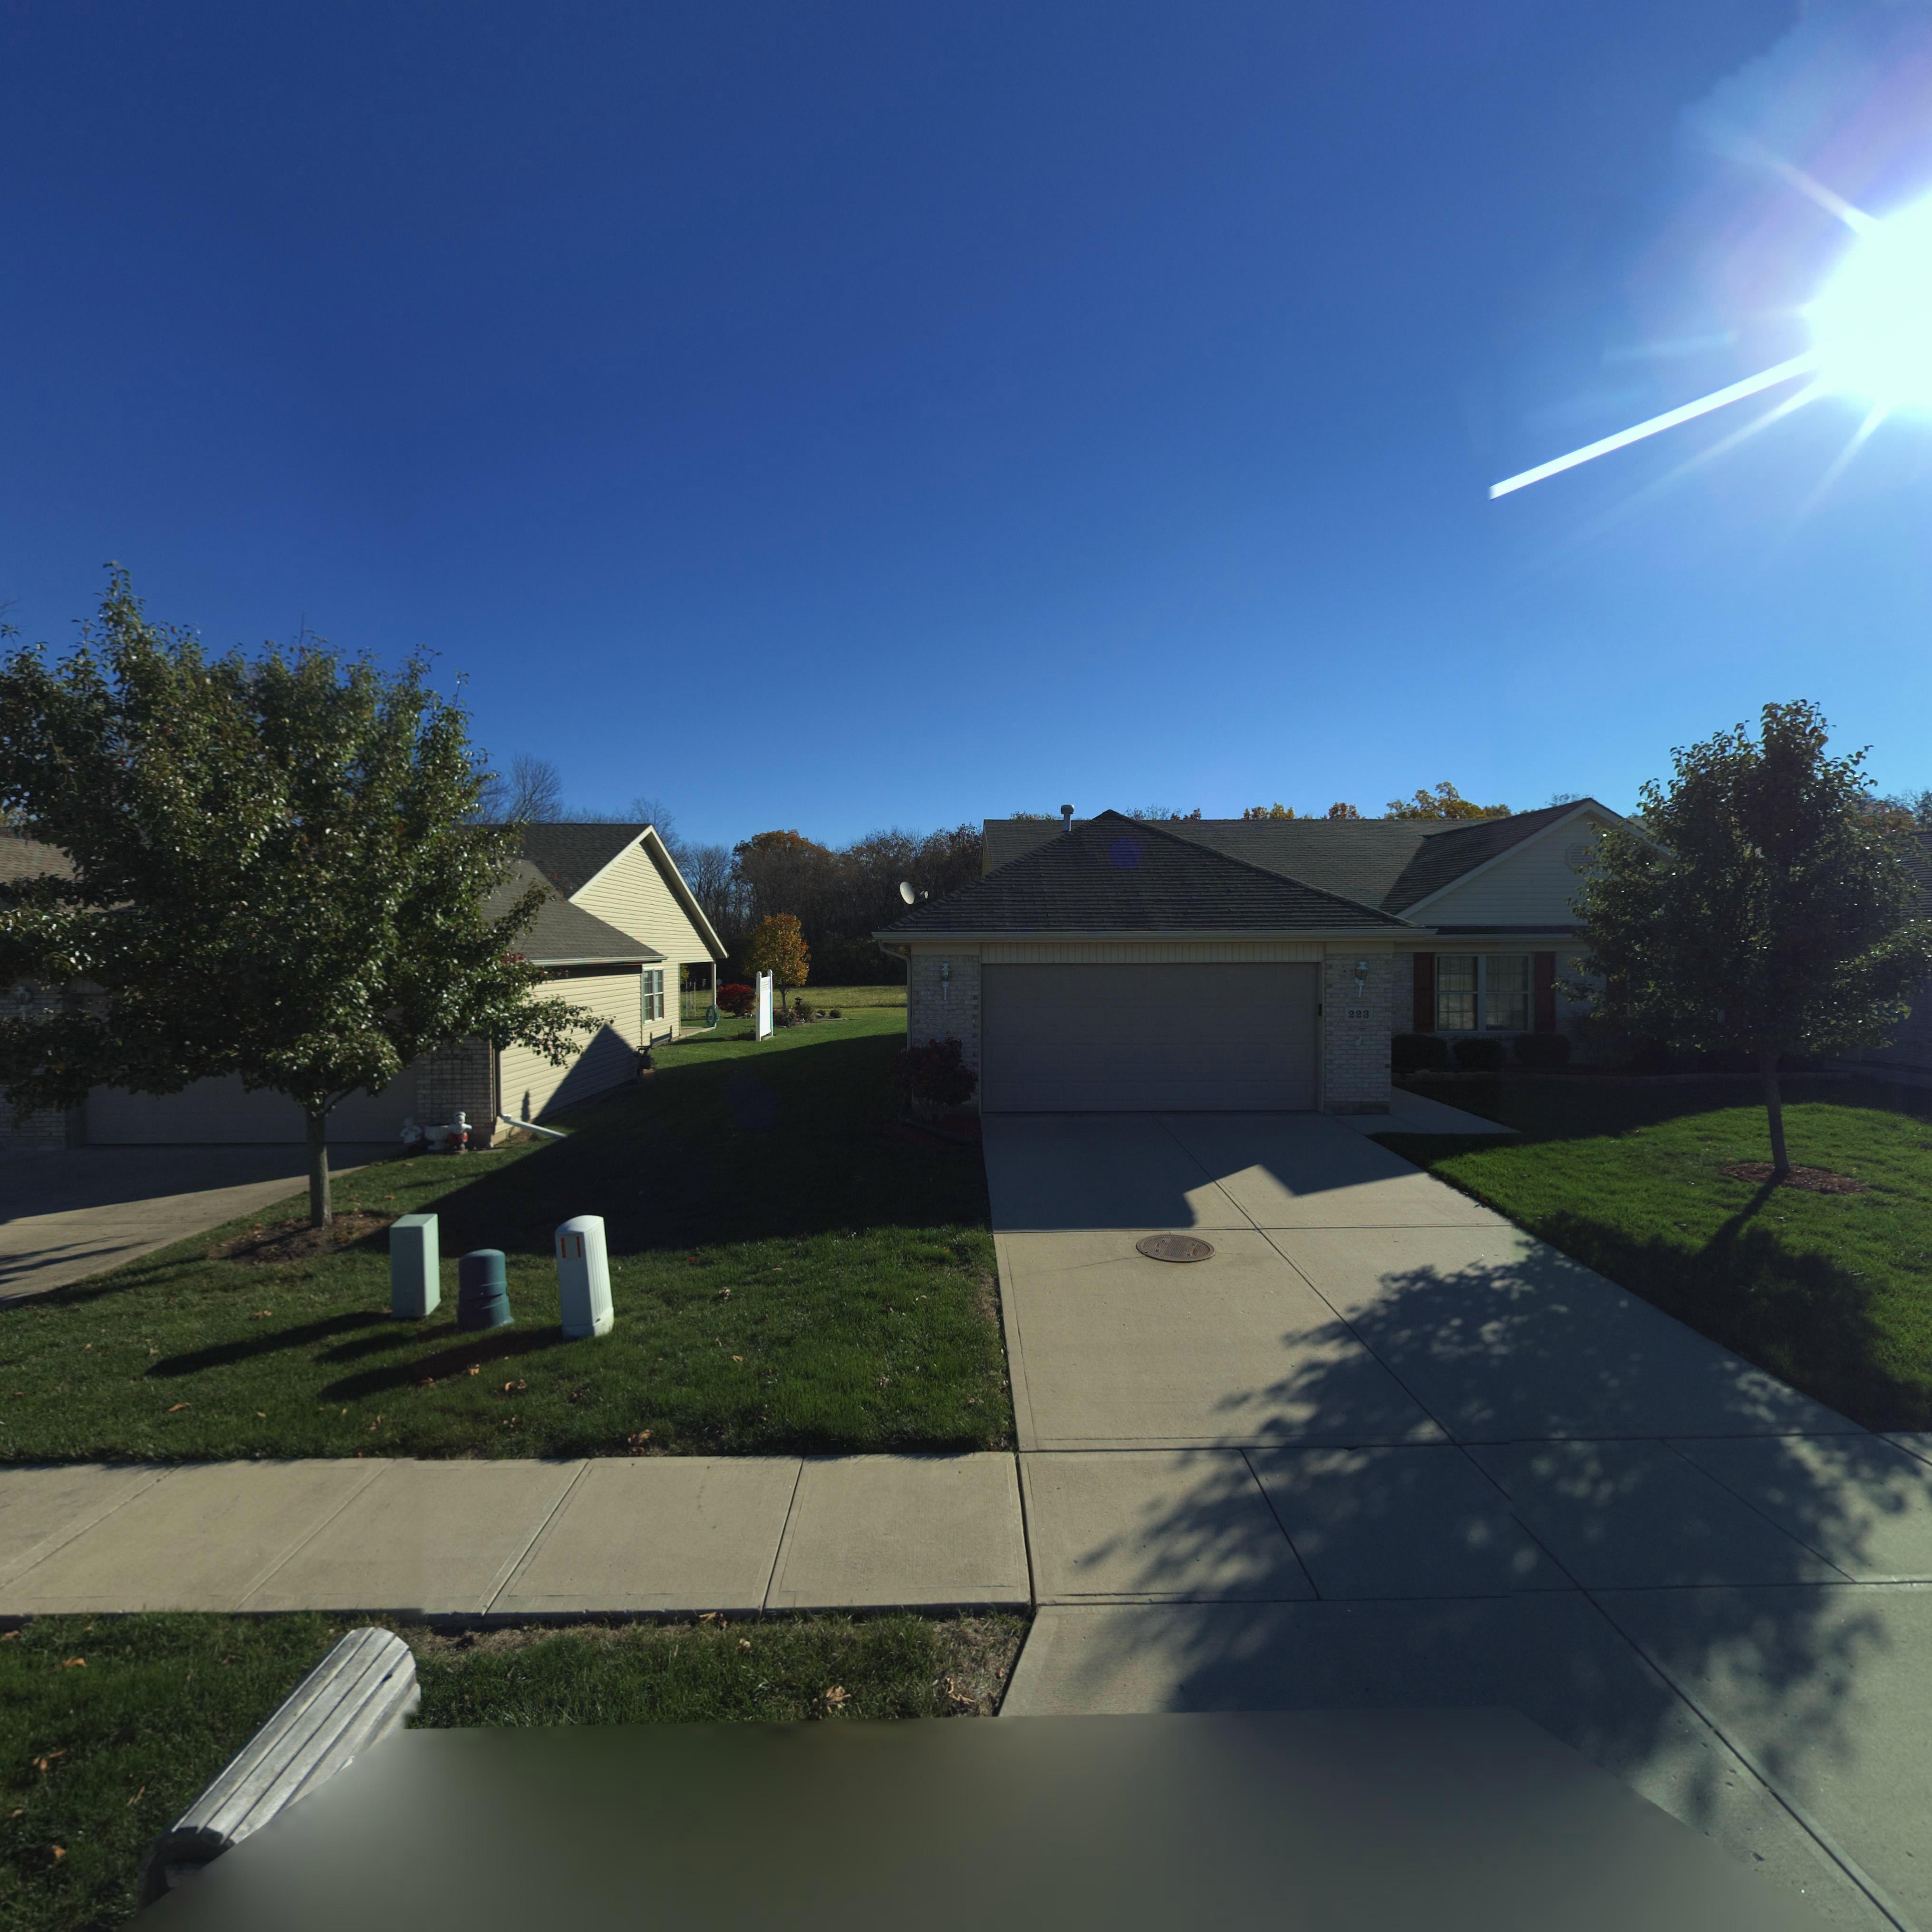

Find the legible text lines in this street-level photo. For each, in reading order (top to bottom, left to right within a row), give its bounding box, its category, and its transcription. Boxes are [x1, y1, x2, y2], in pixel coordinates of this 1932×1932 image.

[1347, 1009, 1370, 1019] StreetNumber: 223